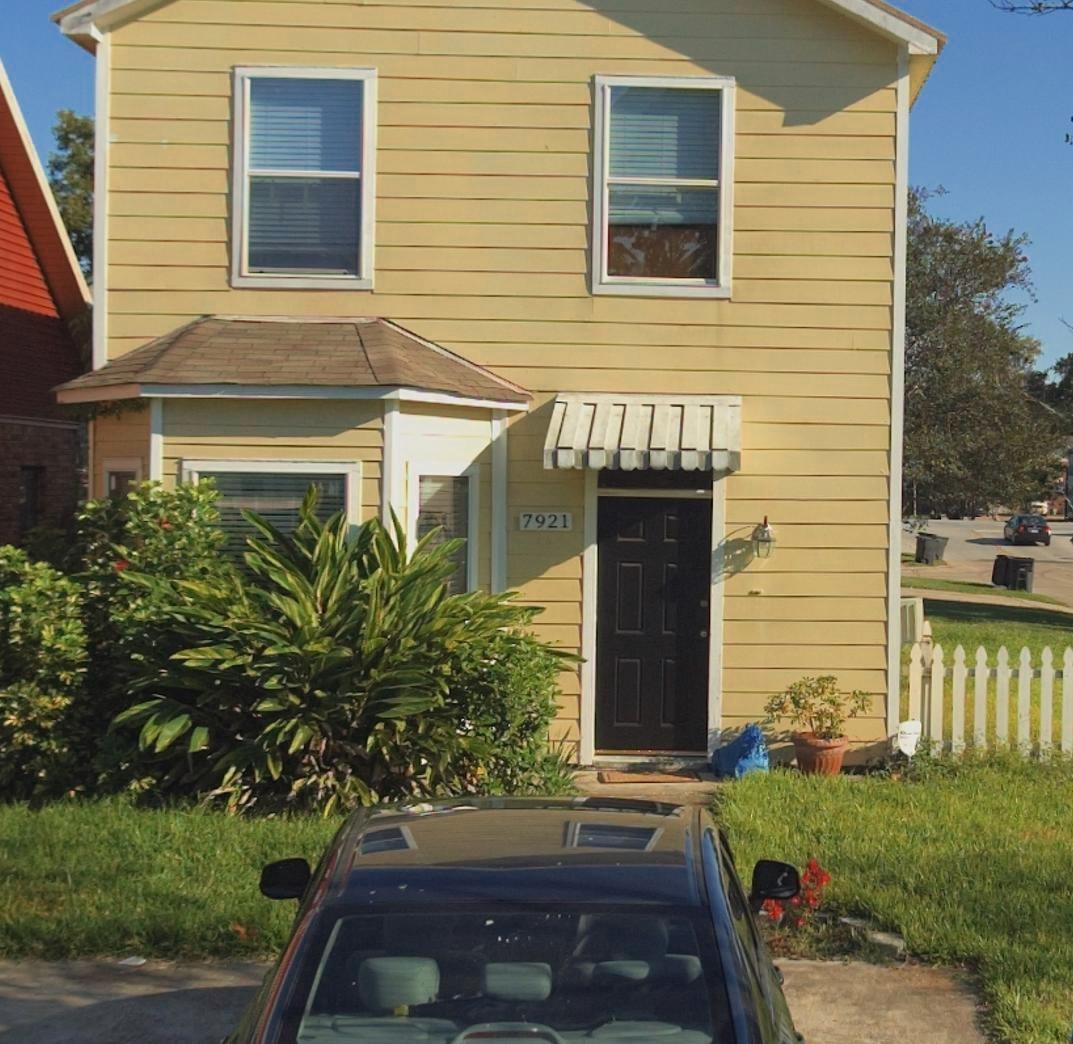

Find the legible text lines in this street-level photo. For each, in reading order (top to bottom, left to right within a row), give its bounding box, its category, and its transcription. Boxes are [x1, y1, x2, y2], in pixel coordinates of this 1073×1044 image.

[522, 513, 569, 529] StreetNumber: 7921